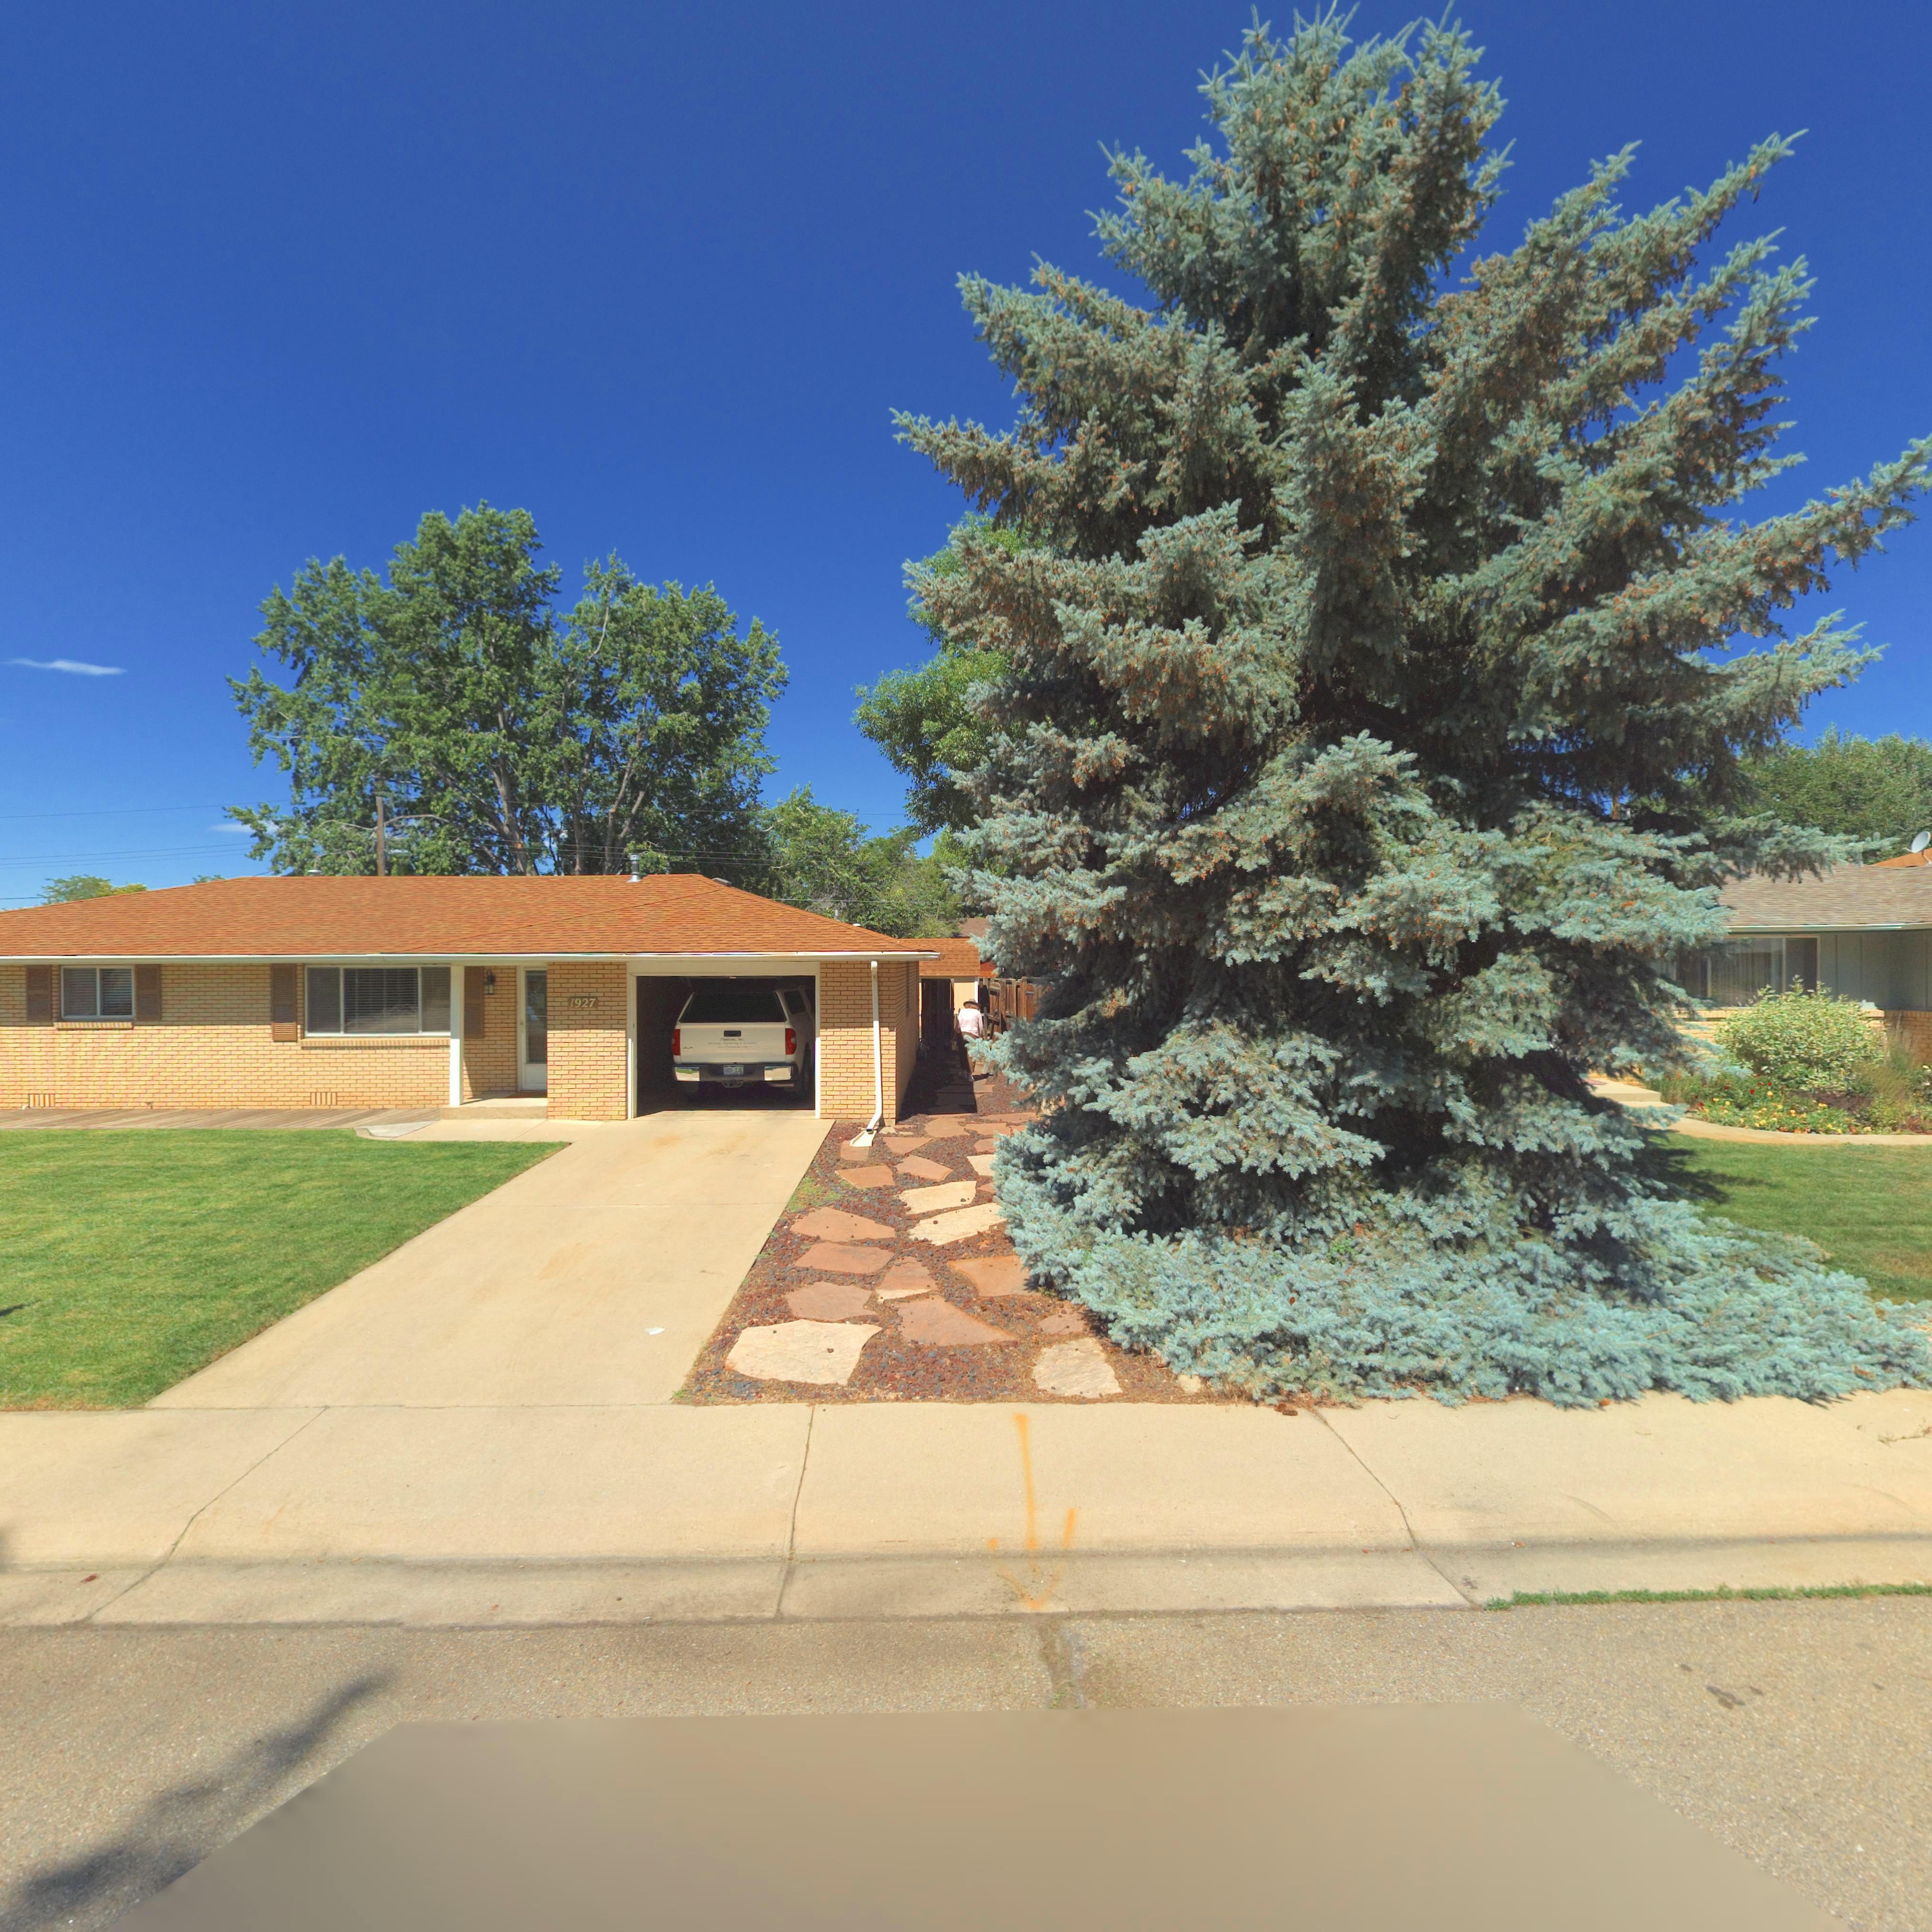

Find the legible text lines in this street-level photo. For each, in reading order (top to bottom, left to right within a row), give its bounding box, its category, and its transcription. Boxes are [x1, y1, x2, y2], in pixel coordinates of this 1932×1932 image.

[569, 997, 597, 1008] StreetNumber: 1927